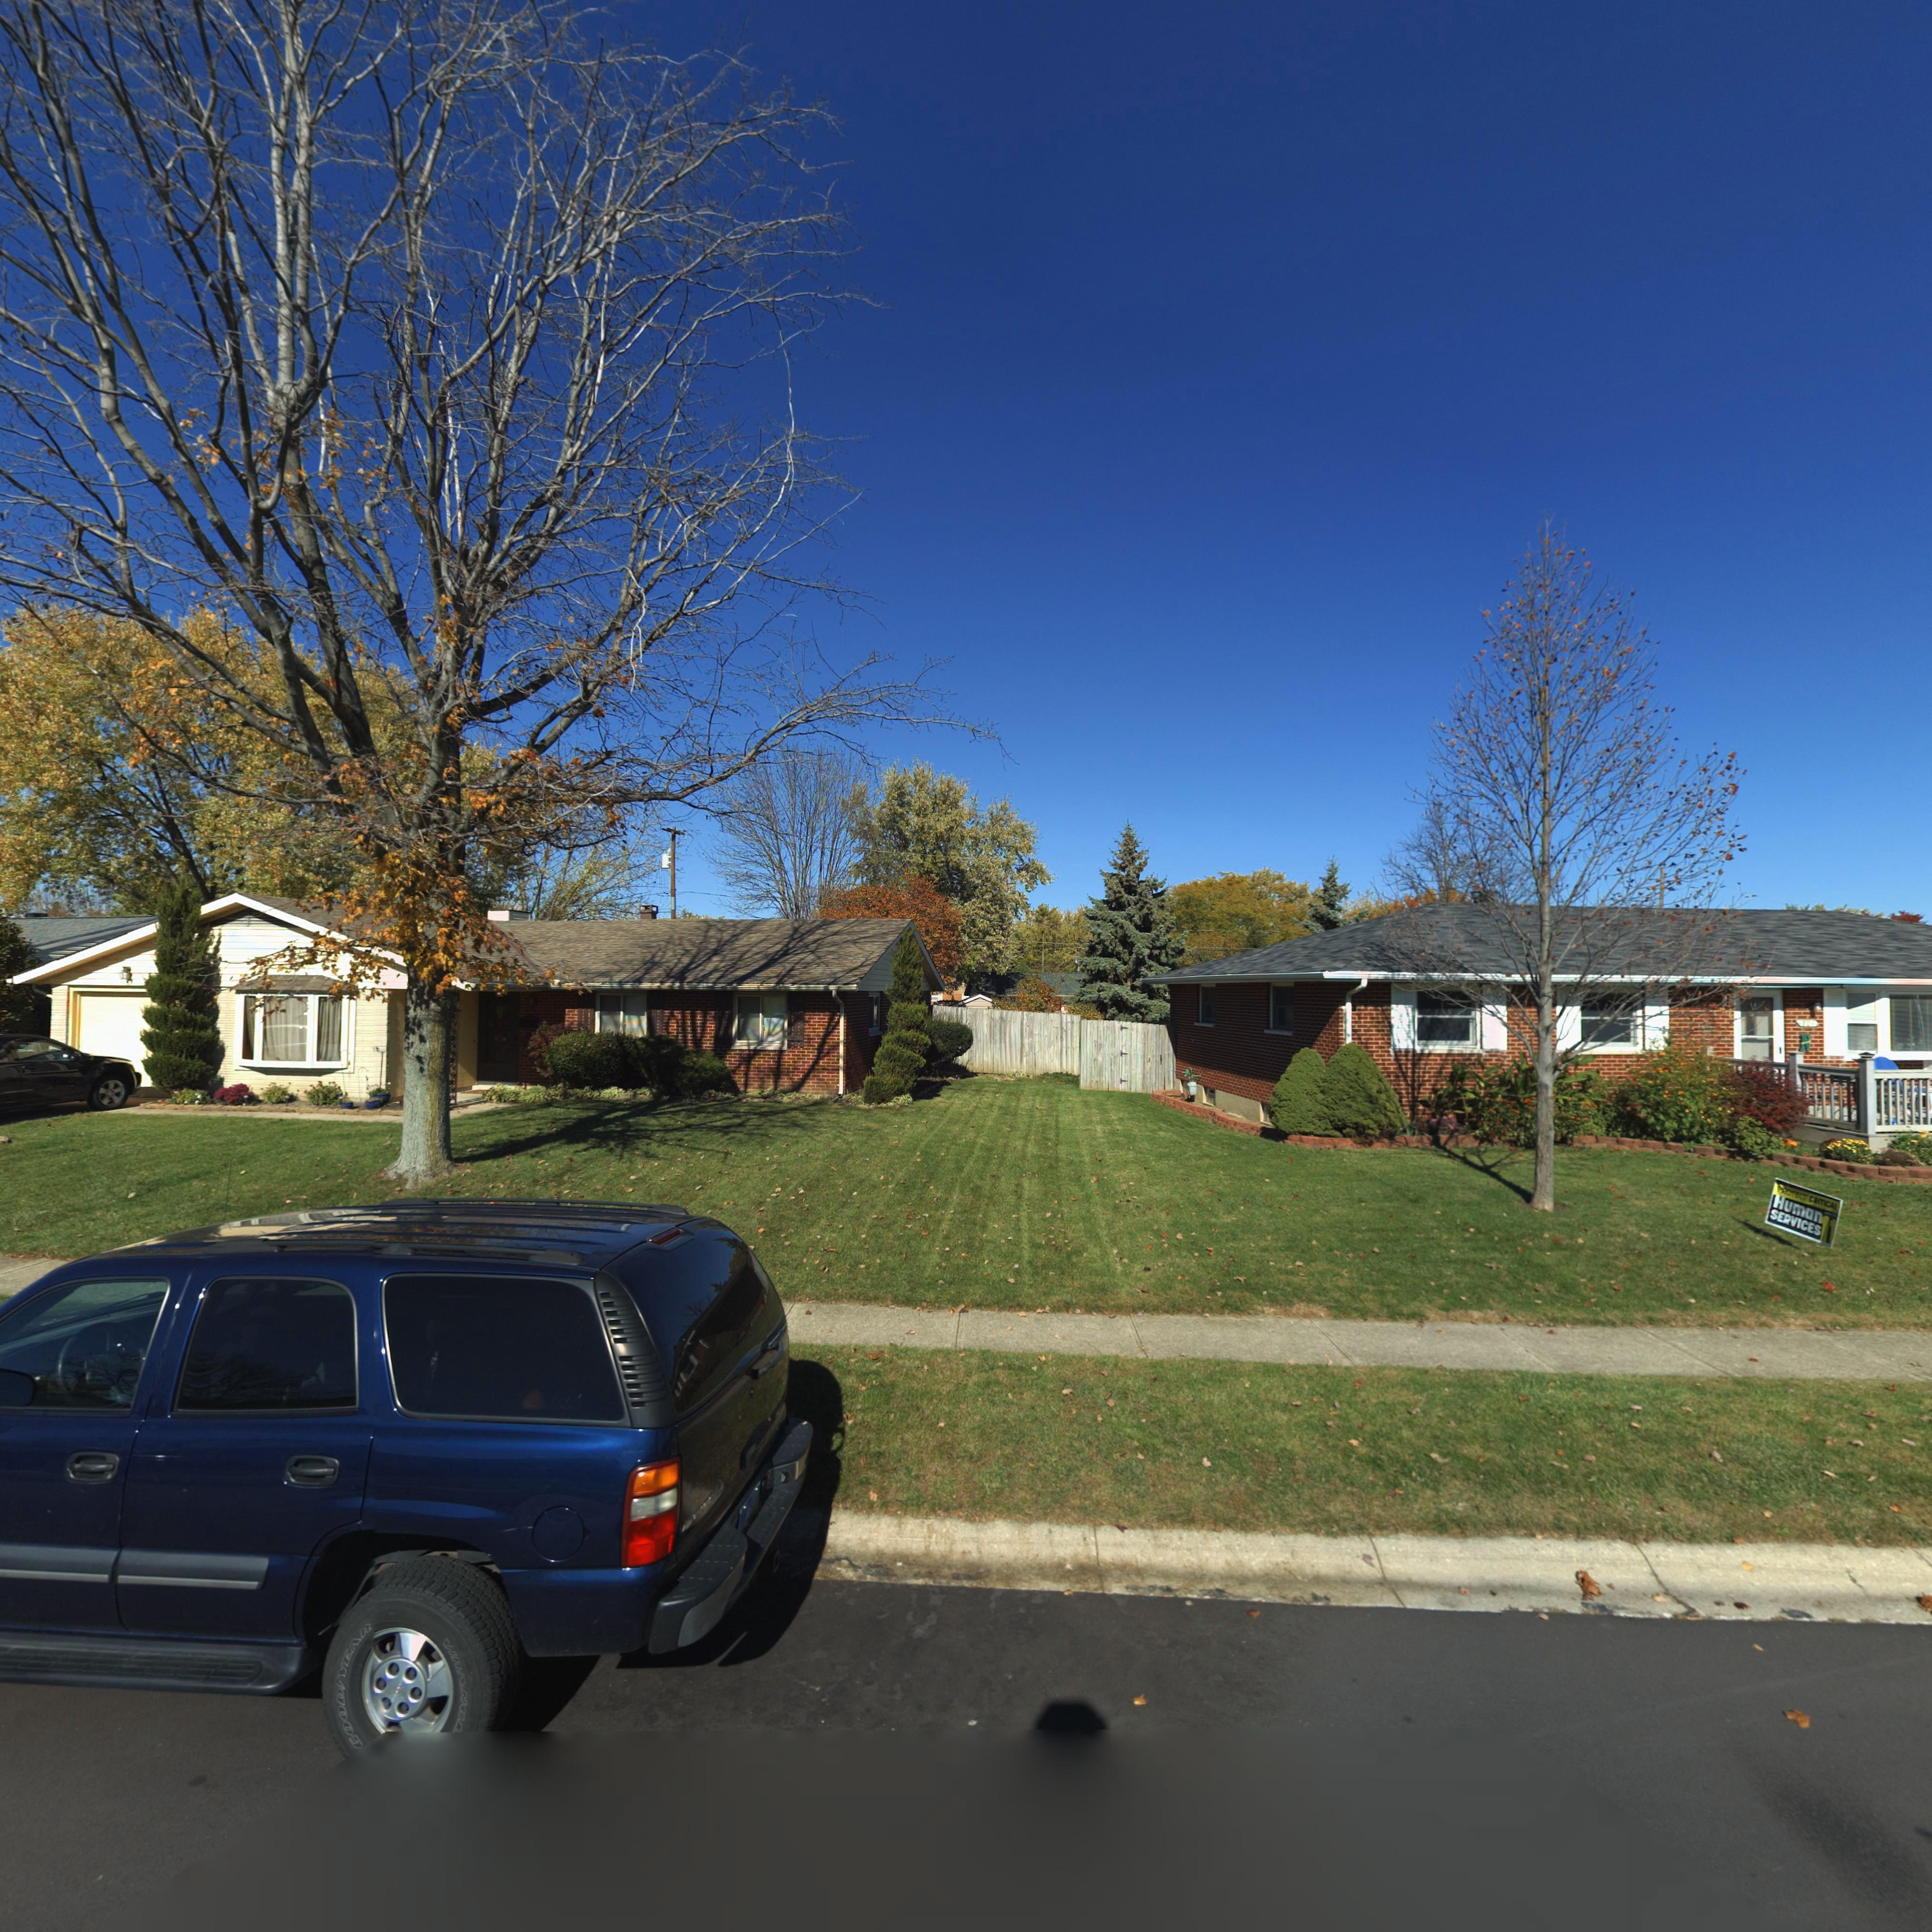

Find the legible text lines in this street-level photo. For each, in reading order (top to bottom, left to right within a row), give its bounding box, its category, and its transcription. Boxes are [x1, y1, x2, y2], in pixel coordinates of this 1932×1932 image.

[1801, 1020, 1816, 1027] StreetNumber: *0*